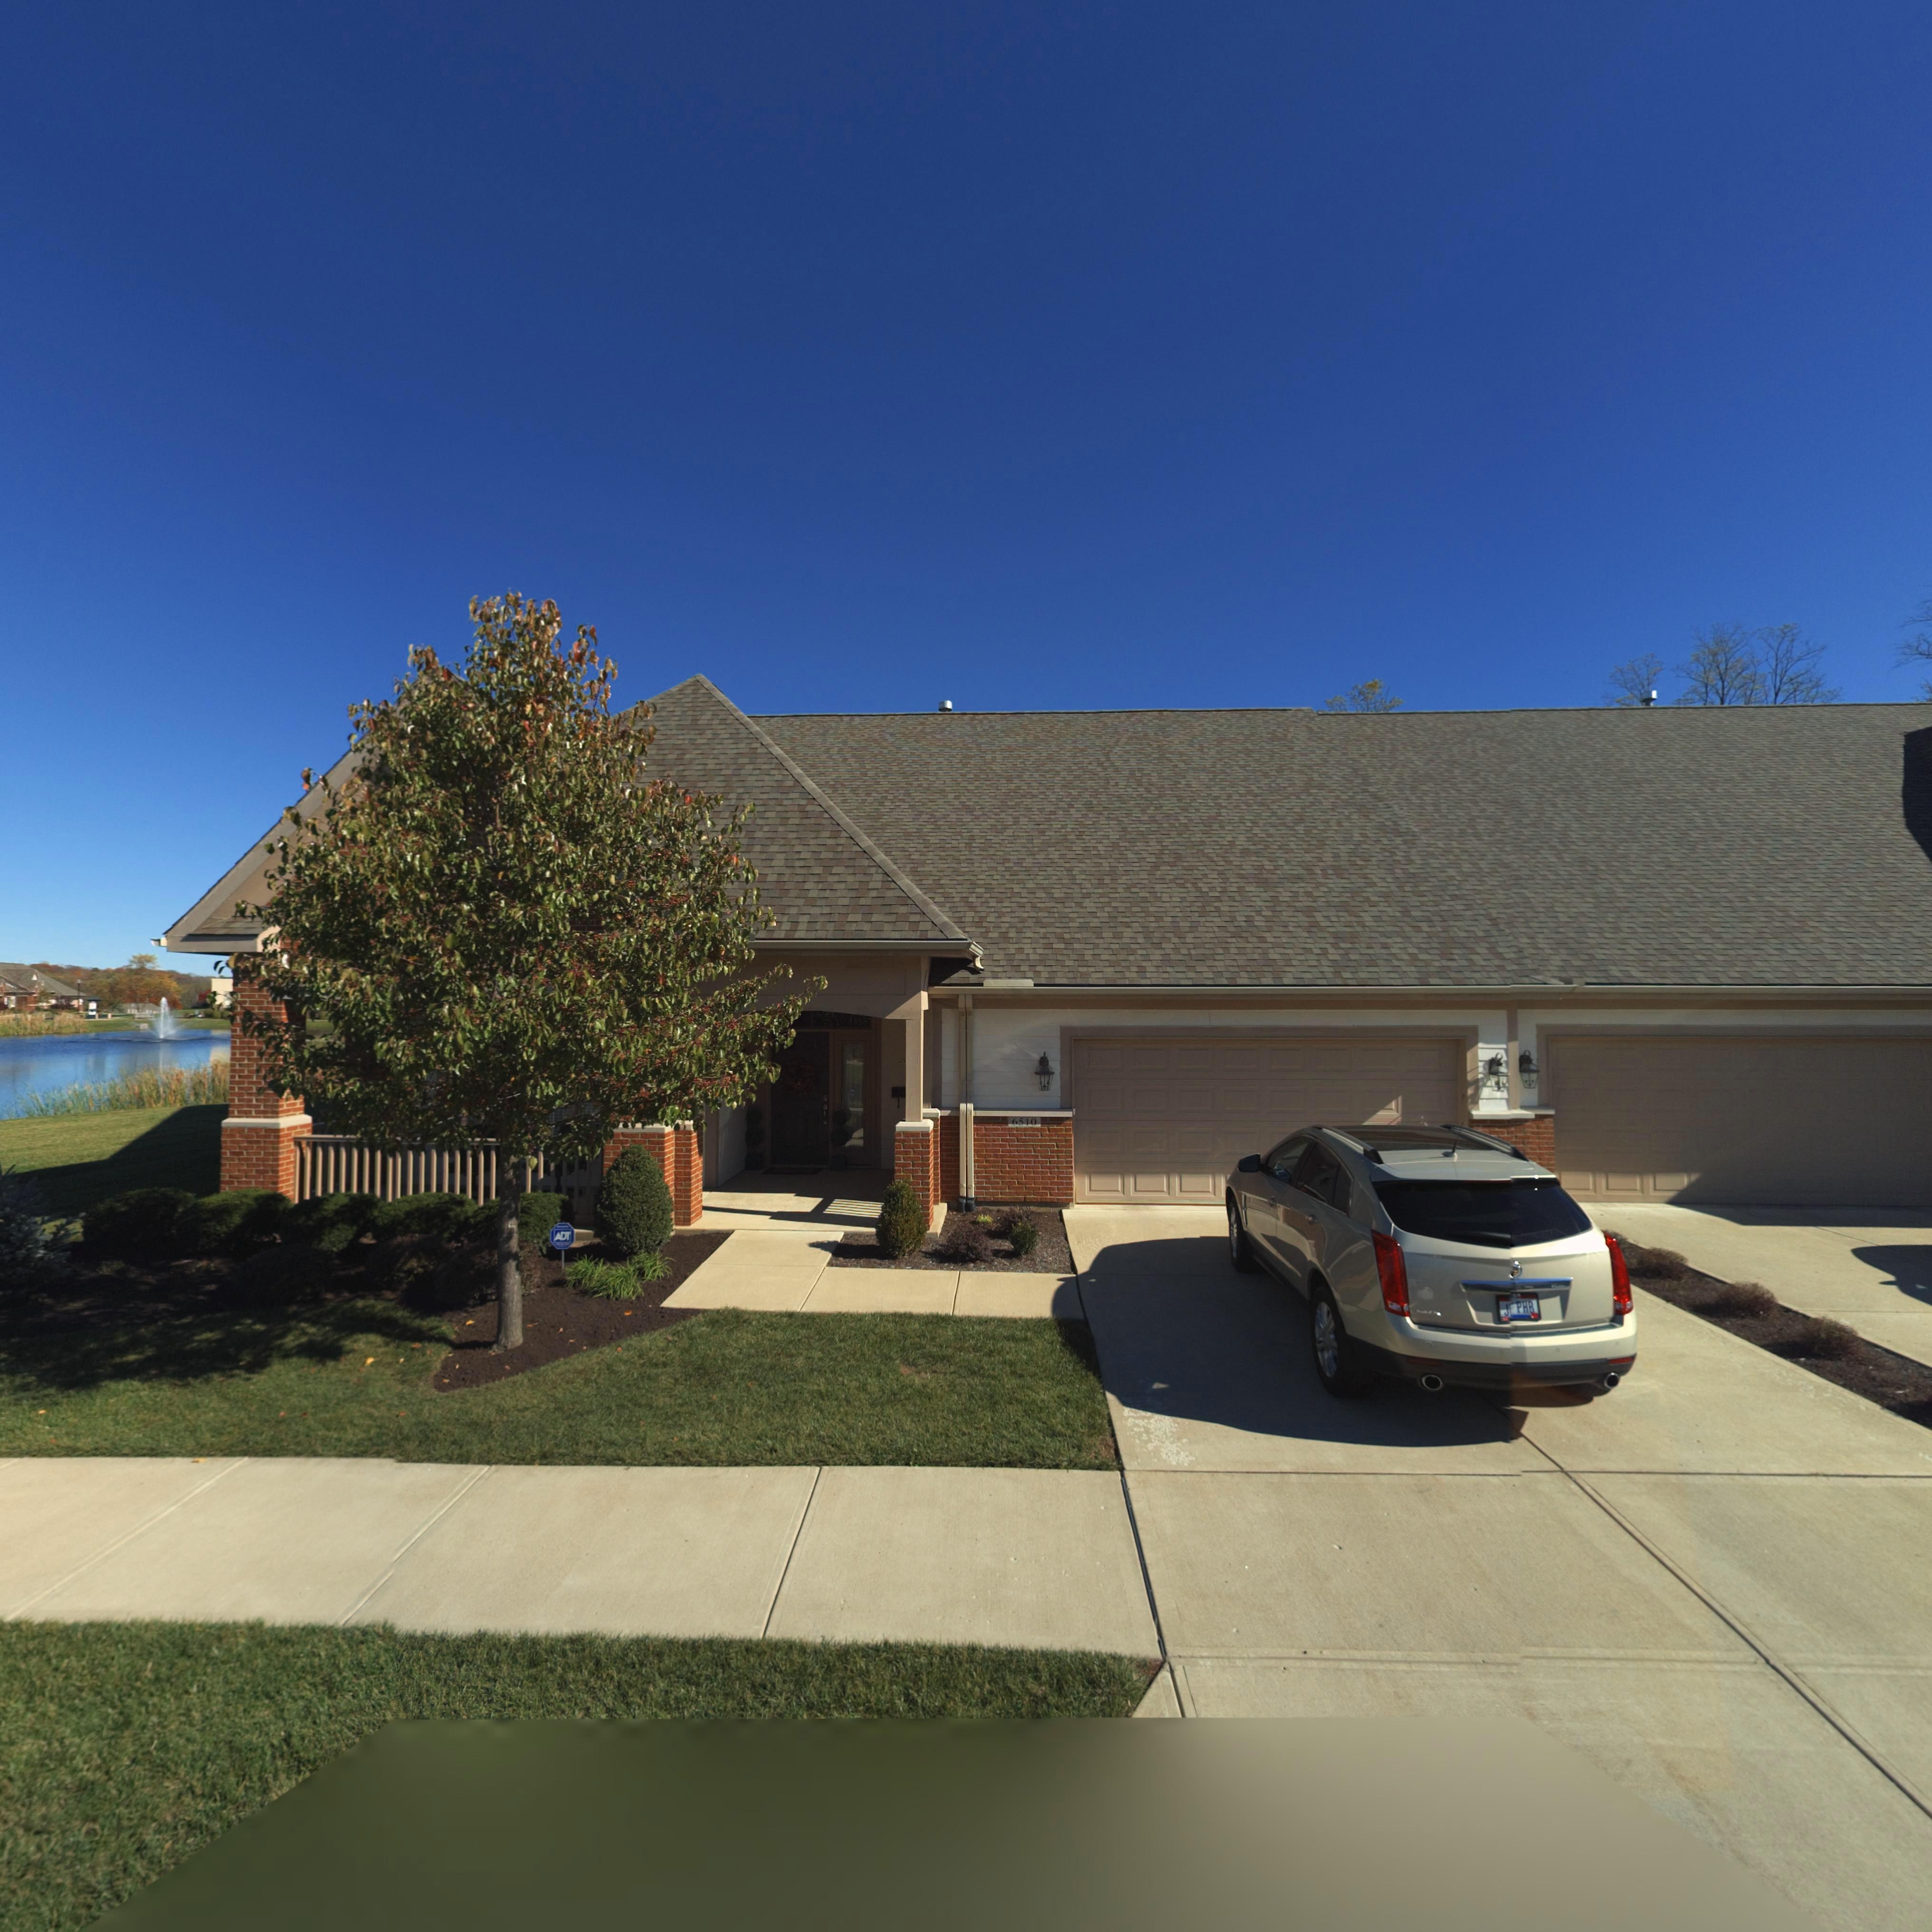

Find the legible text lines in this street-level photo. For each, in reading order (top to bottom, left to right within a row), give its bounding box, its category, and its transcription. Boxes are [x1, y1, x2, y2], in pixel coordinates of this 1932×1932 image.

[1012, 1117, 1037, 1127] StreetNumber: 6510
[553, 1230, 572, 1242] None: ADT
[1503, 1303, 1510, 1317] None: J
[1515, 1300, 1536, 1314] None: PHB